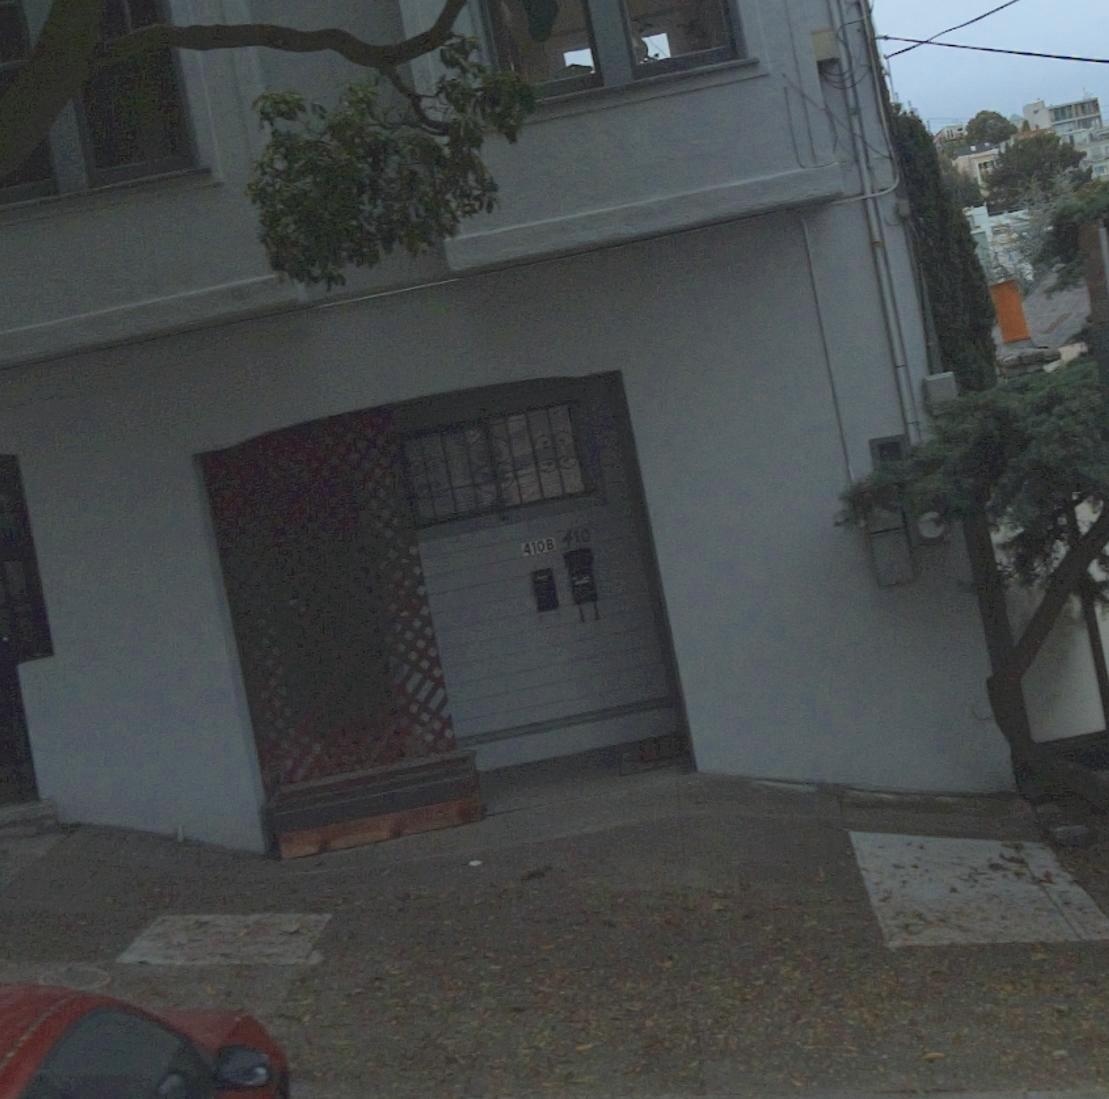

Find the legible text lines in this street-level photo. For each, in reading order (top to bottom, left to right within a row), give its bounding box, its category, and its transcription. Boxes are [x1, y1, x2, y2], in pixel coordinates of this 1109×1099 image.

[522, 537, 555, 555] StreetNumber: 410B
[560, 526, 592, 549] StreetNumber: 410